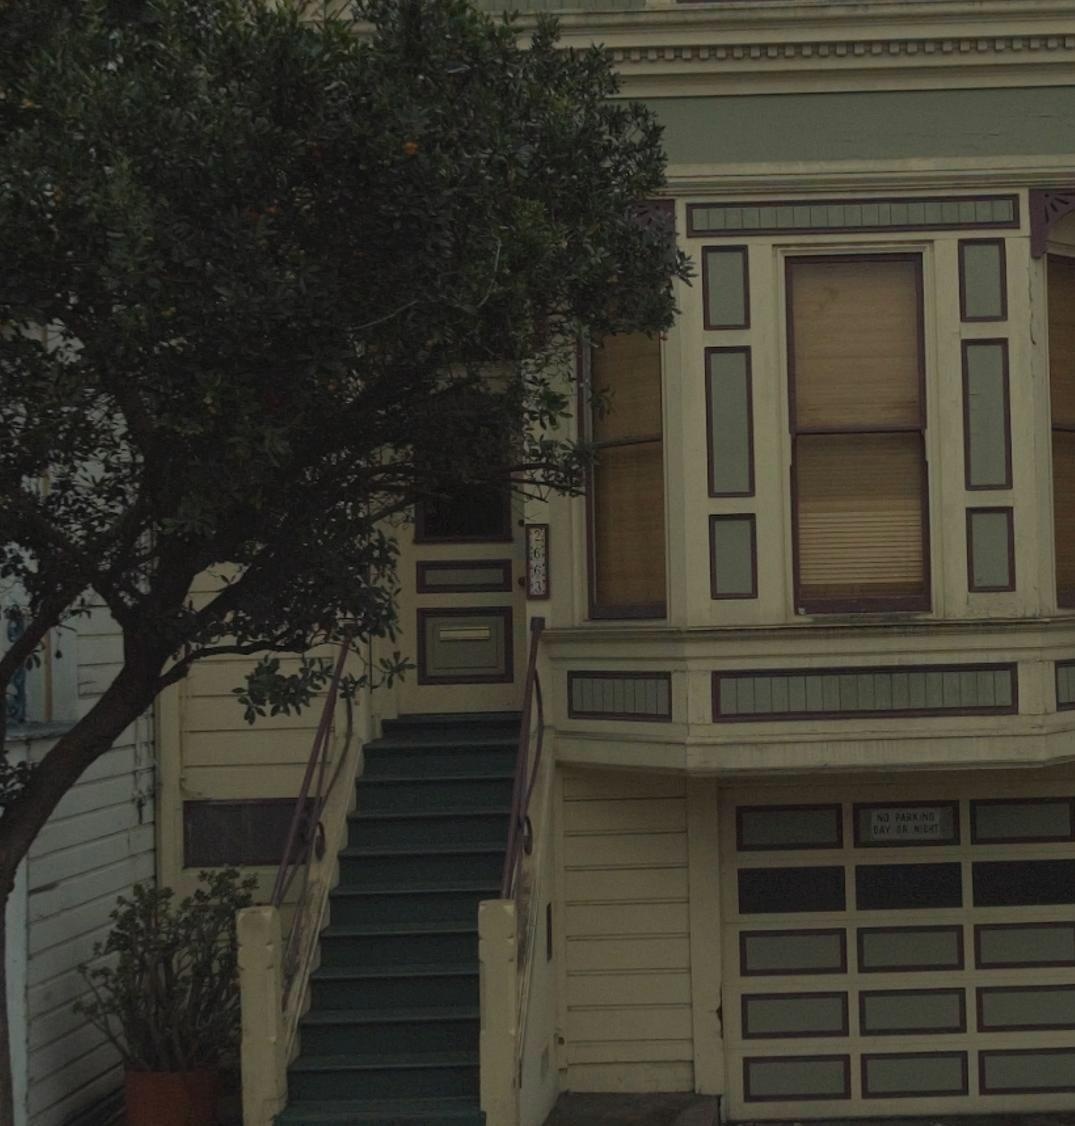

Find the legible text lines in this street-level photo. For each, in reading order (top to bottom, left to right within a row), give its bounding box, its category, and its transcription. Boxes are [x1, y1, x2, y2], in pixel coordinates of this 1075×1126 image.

[532, 528, 543, 595] StreetNumber: 2663
[875, 810, 936, 823] None: NO PARKING
[871, 823, 940, 836] None: BAY OF NIGHT